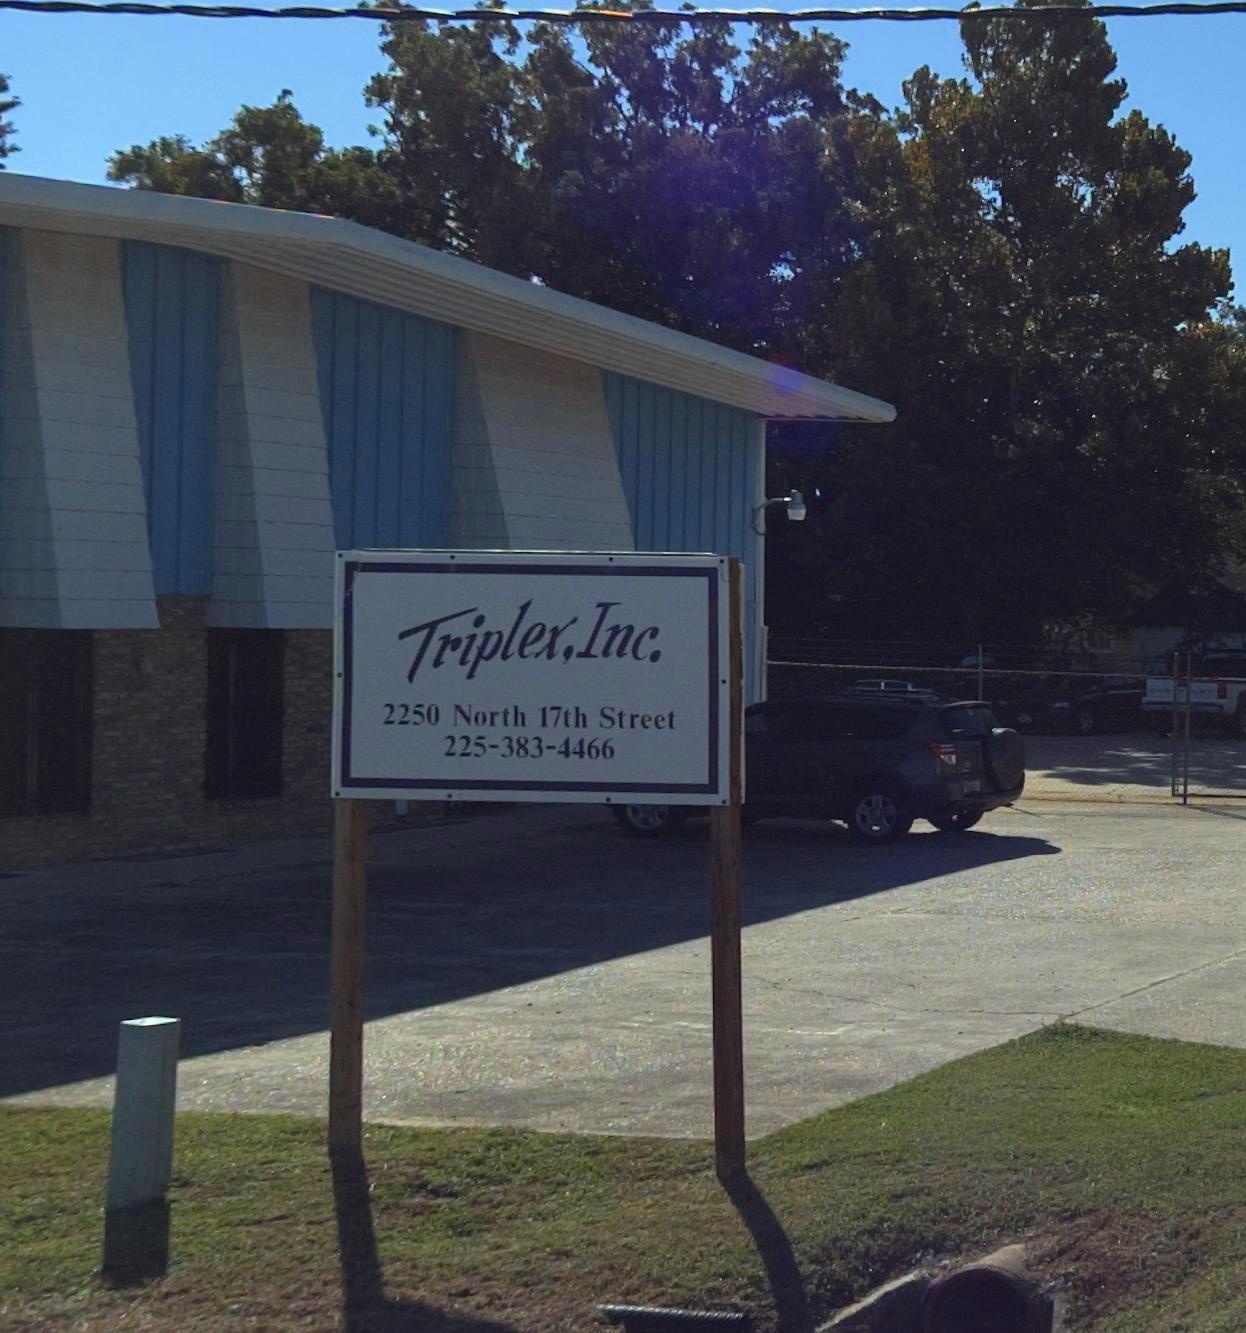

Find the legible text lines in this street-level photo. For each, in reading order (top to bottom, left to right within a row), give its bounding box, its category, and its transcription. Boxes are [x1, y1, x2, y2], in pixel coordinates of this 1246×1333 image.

[393, 596, 671, 689] BusinessName: Triplex,Inc.
[379, 700, 443, 728] StreetNumber: 2250
[450, 701, 680, 733] StreetName: North 17th Street
[440, 732, 619, 762] None: 225-383-4466